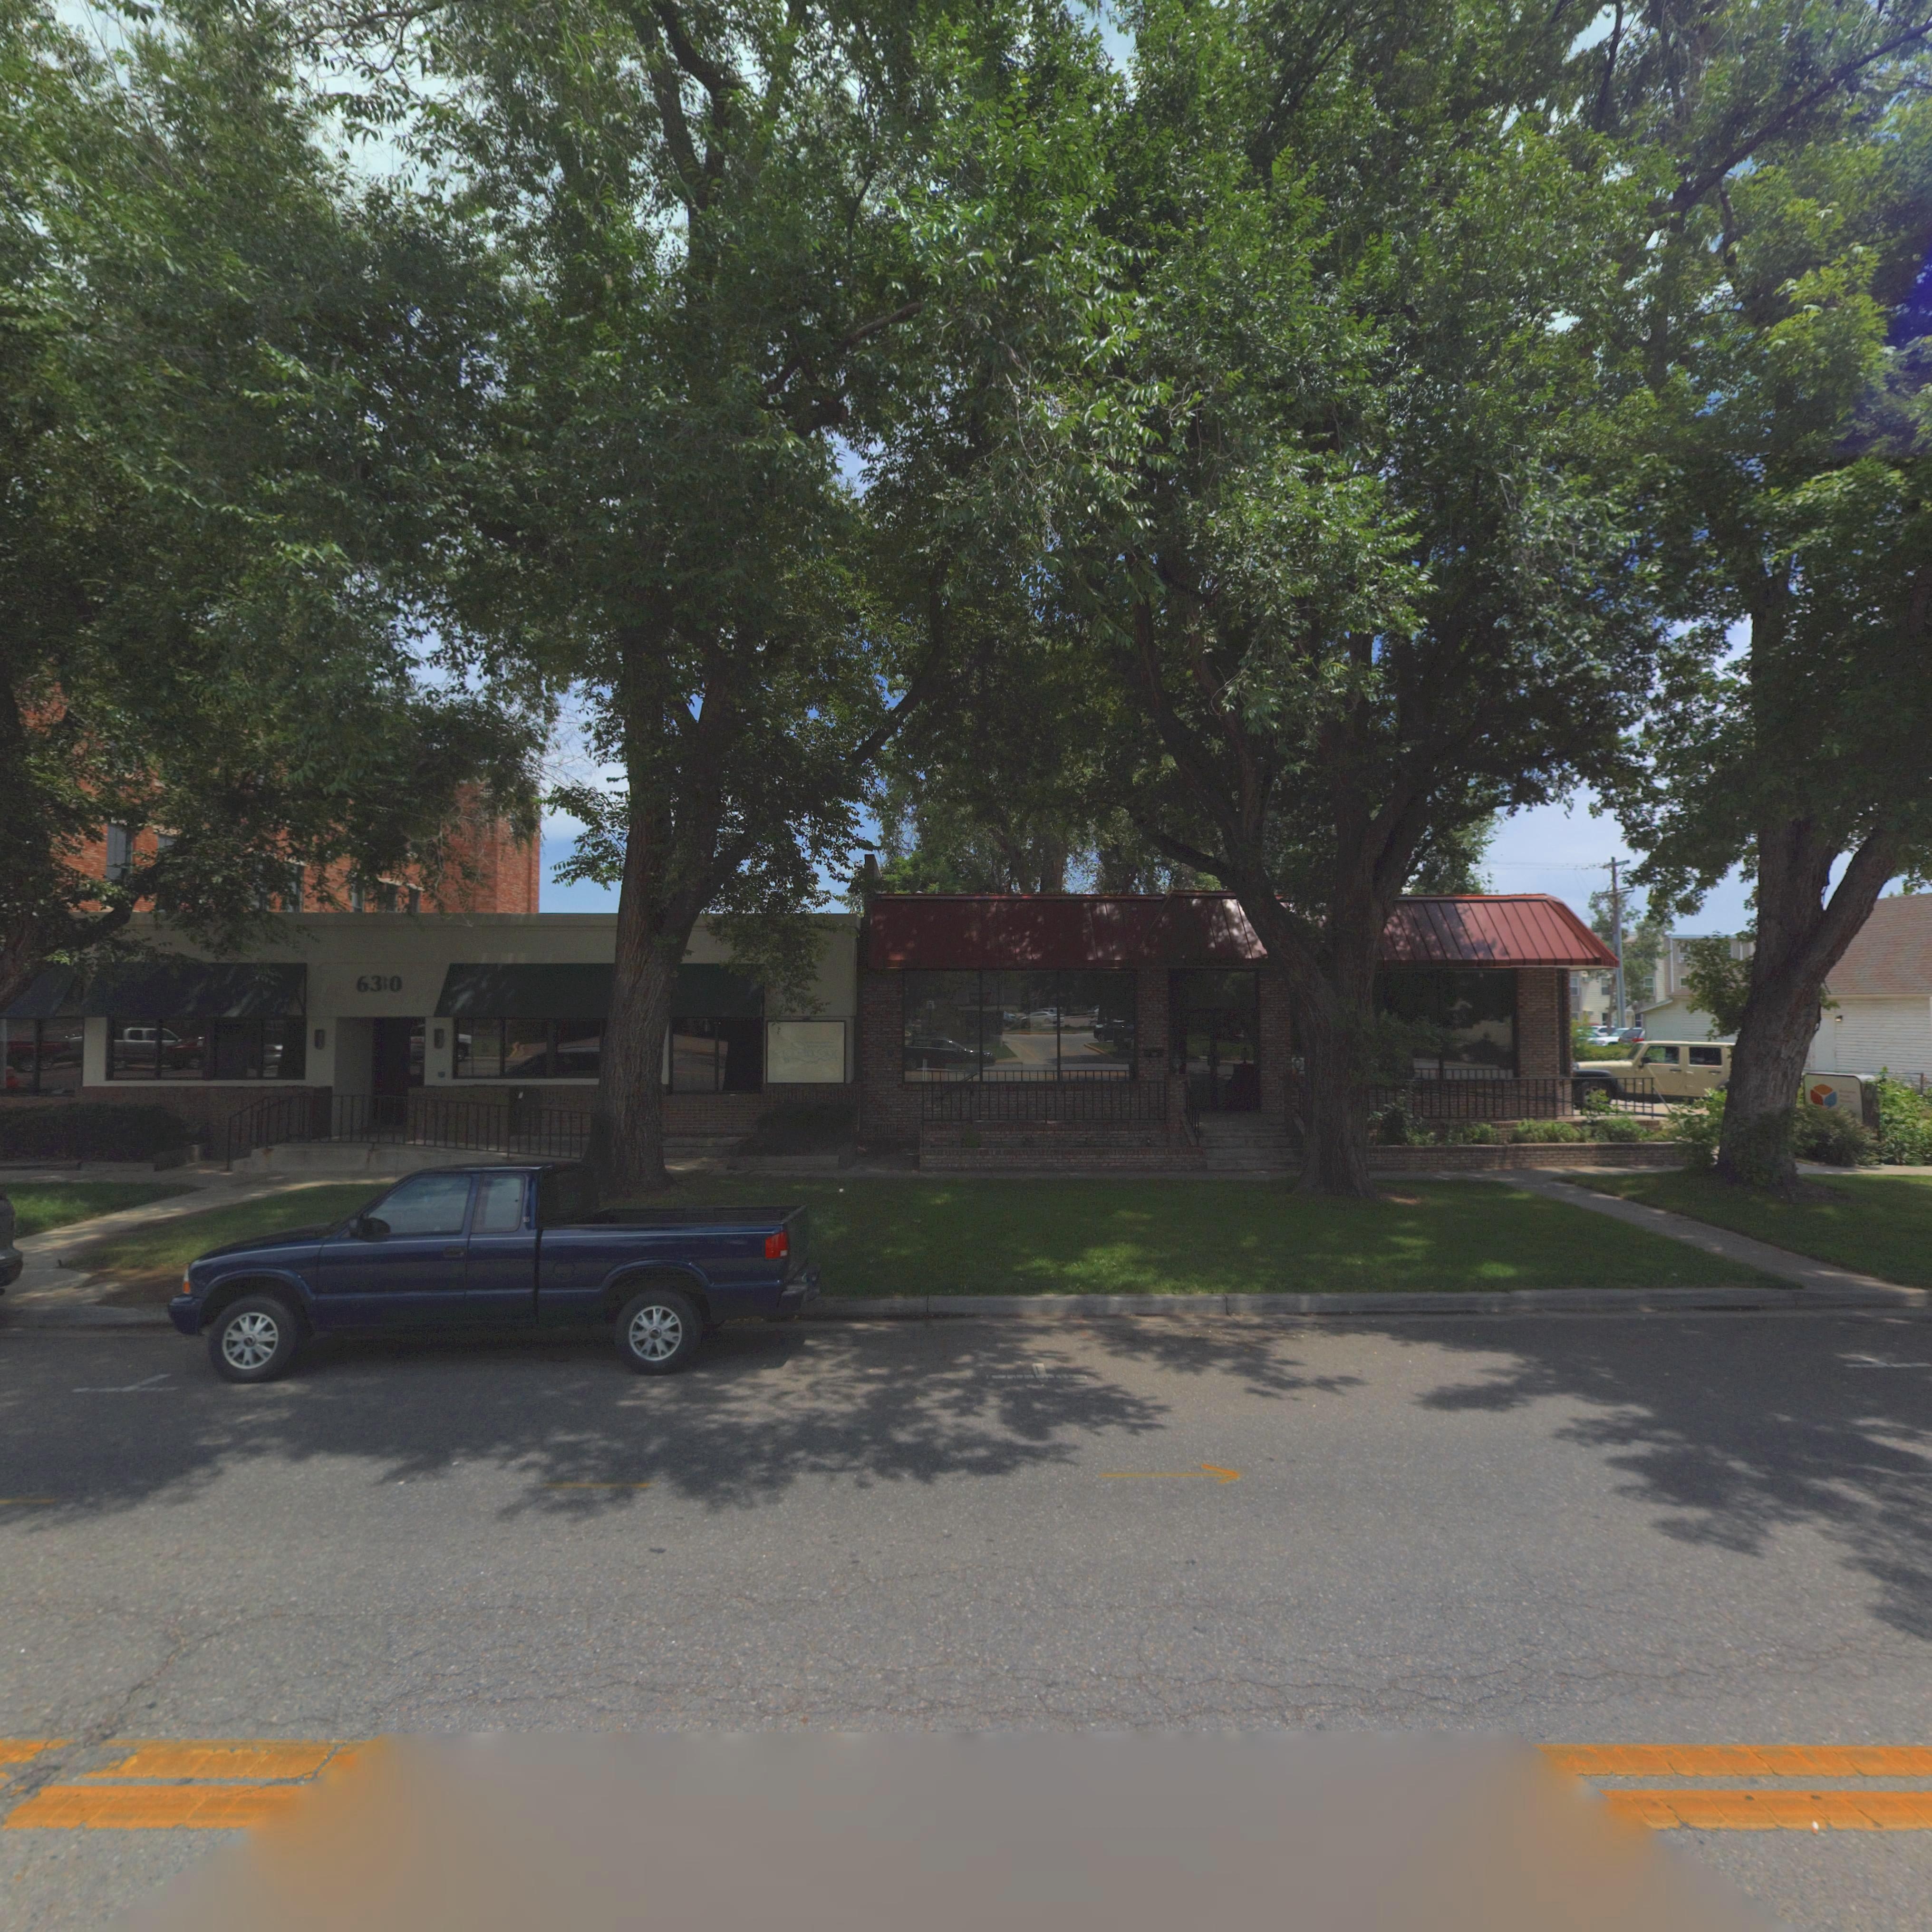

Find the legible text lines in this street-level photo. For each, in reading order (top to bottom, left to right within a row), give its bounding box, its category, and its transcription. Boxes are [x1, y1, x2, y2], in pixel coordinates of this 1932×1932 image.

[355, 975, 402, 994] StreetNumber: 630
[1838, 1089, 1856, 1094] BusinessName: D******